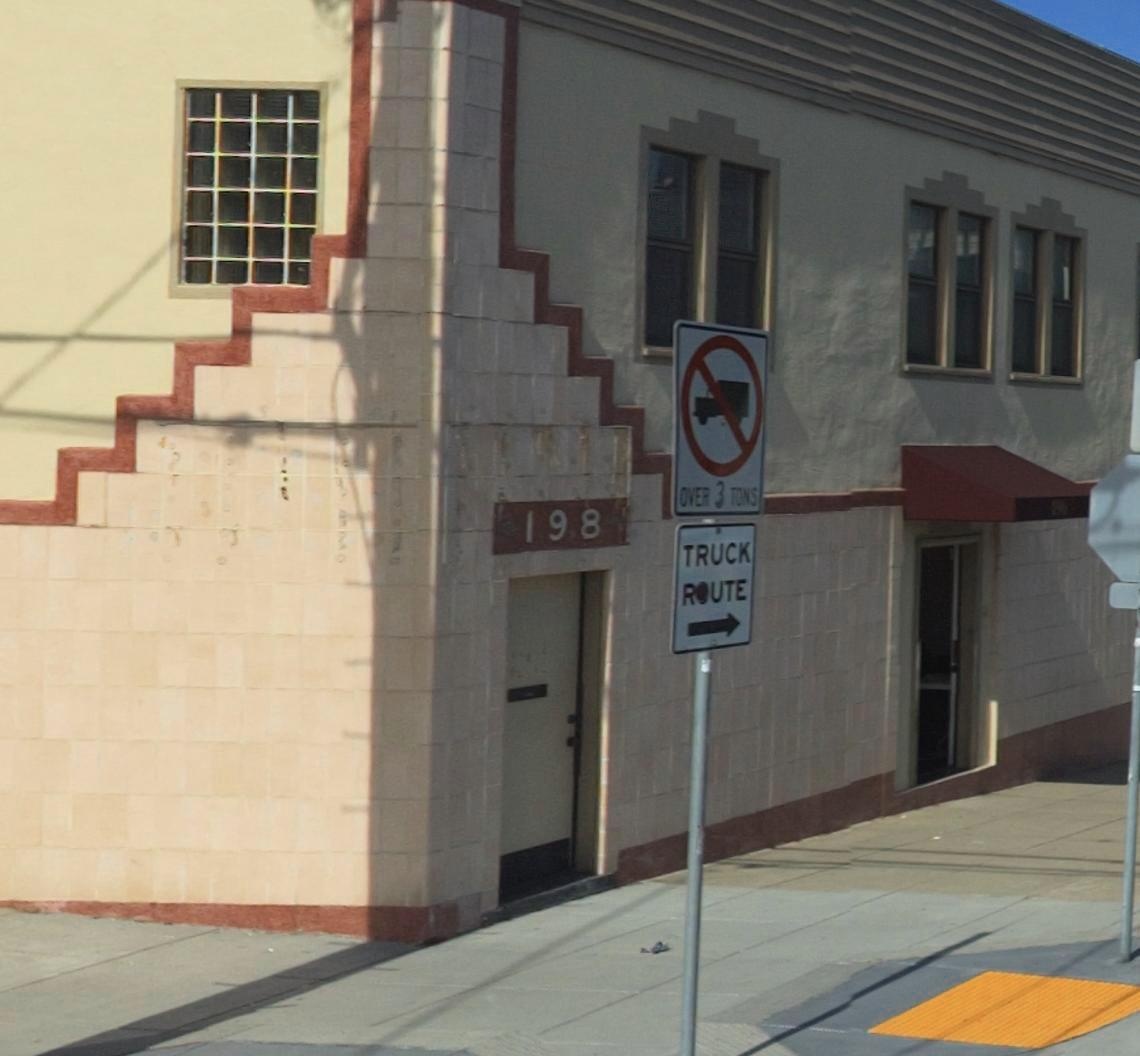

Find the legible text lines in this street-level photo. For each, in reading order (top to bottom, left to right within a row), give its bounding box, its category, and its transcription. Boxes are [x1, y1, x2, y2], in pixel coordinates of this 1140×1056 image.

[677, 479, 759, 510] None: OVER 3 TONS
[524, 506, 602, 546] StreetNumber: 198
[682, 540, 752, 569] None: TRUCK
[680, 577, 748, 609] None: ROUTE